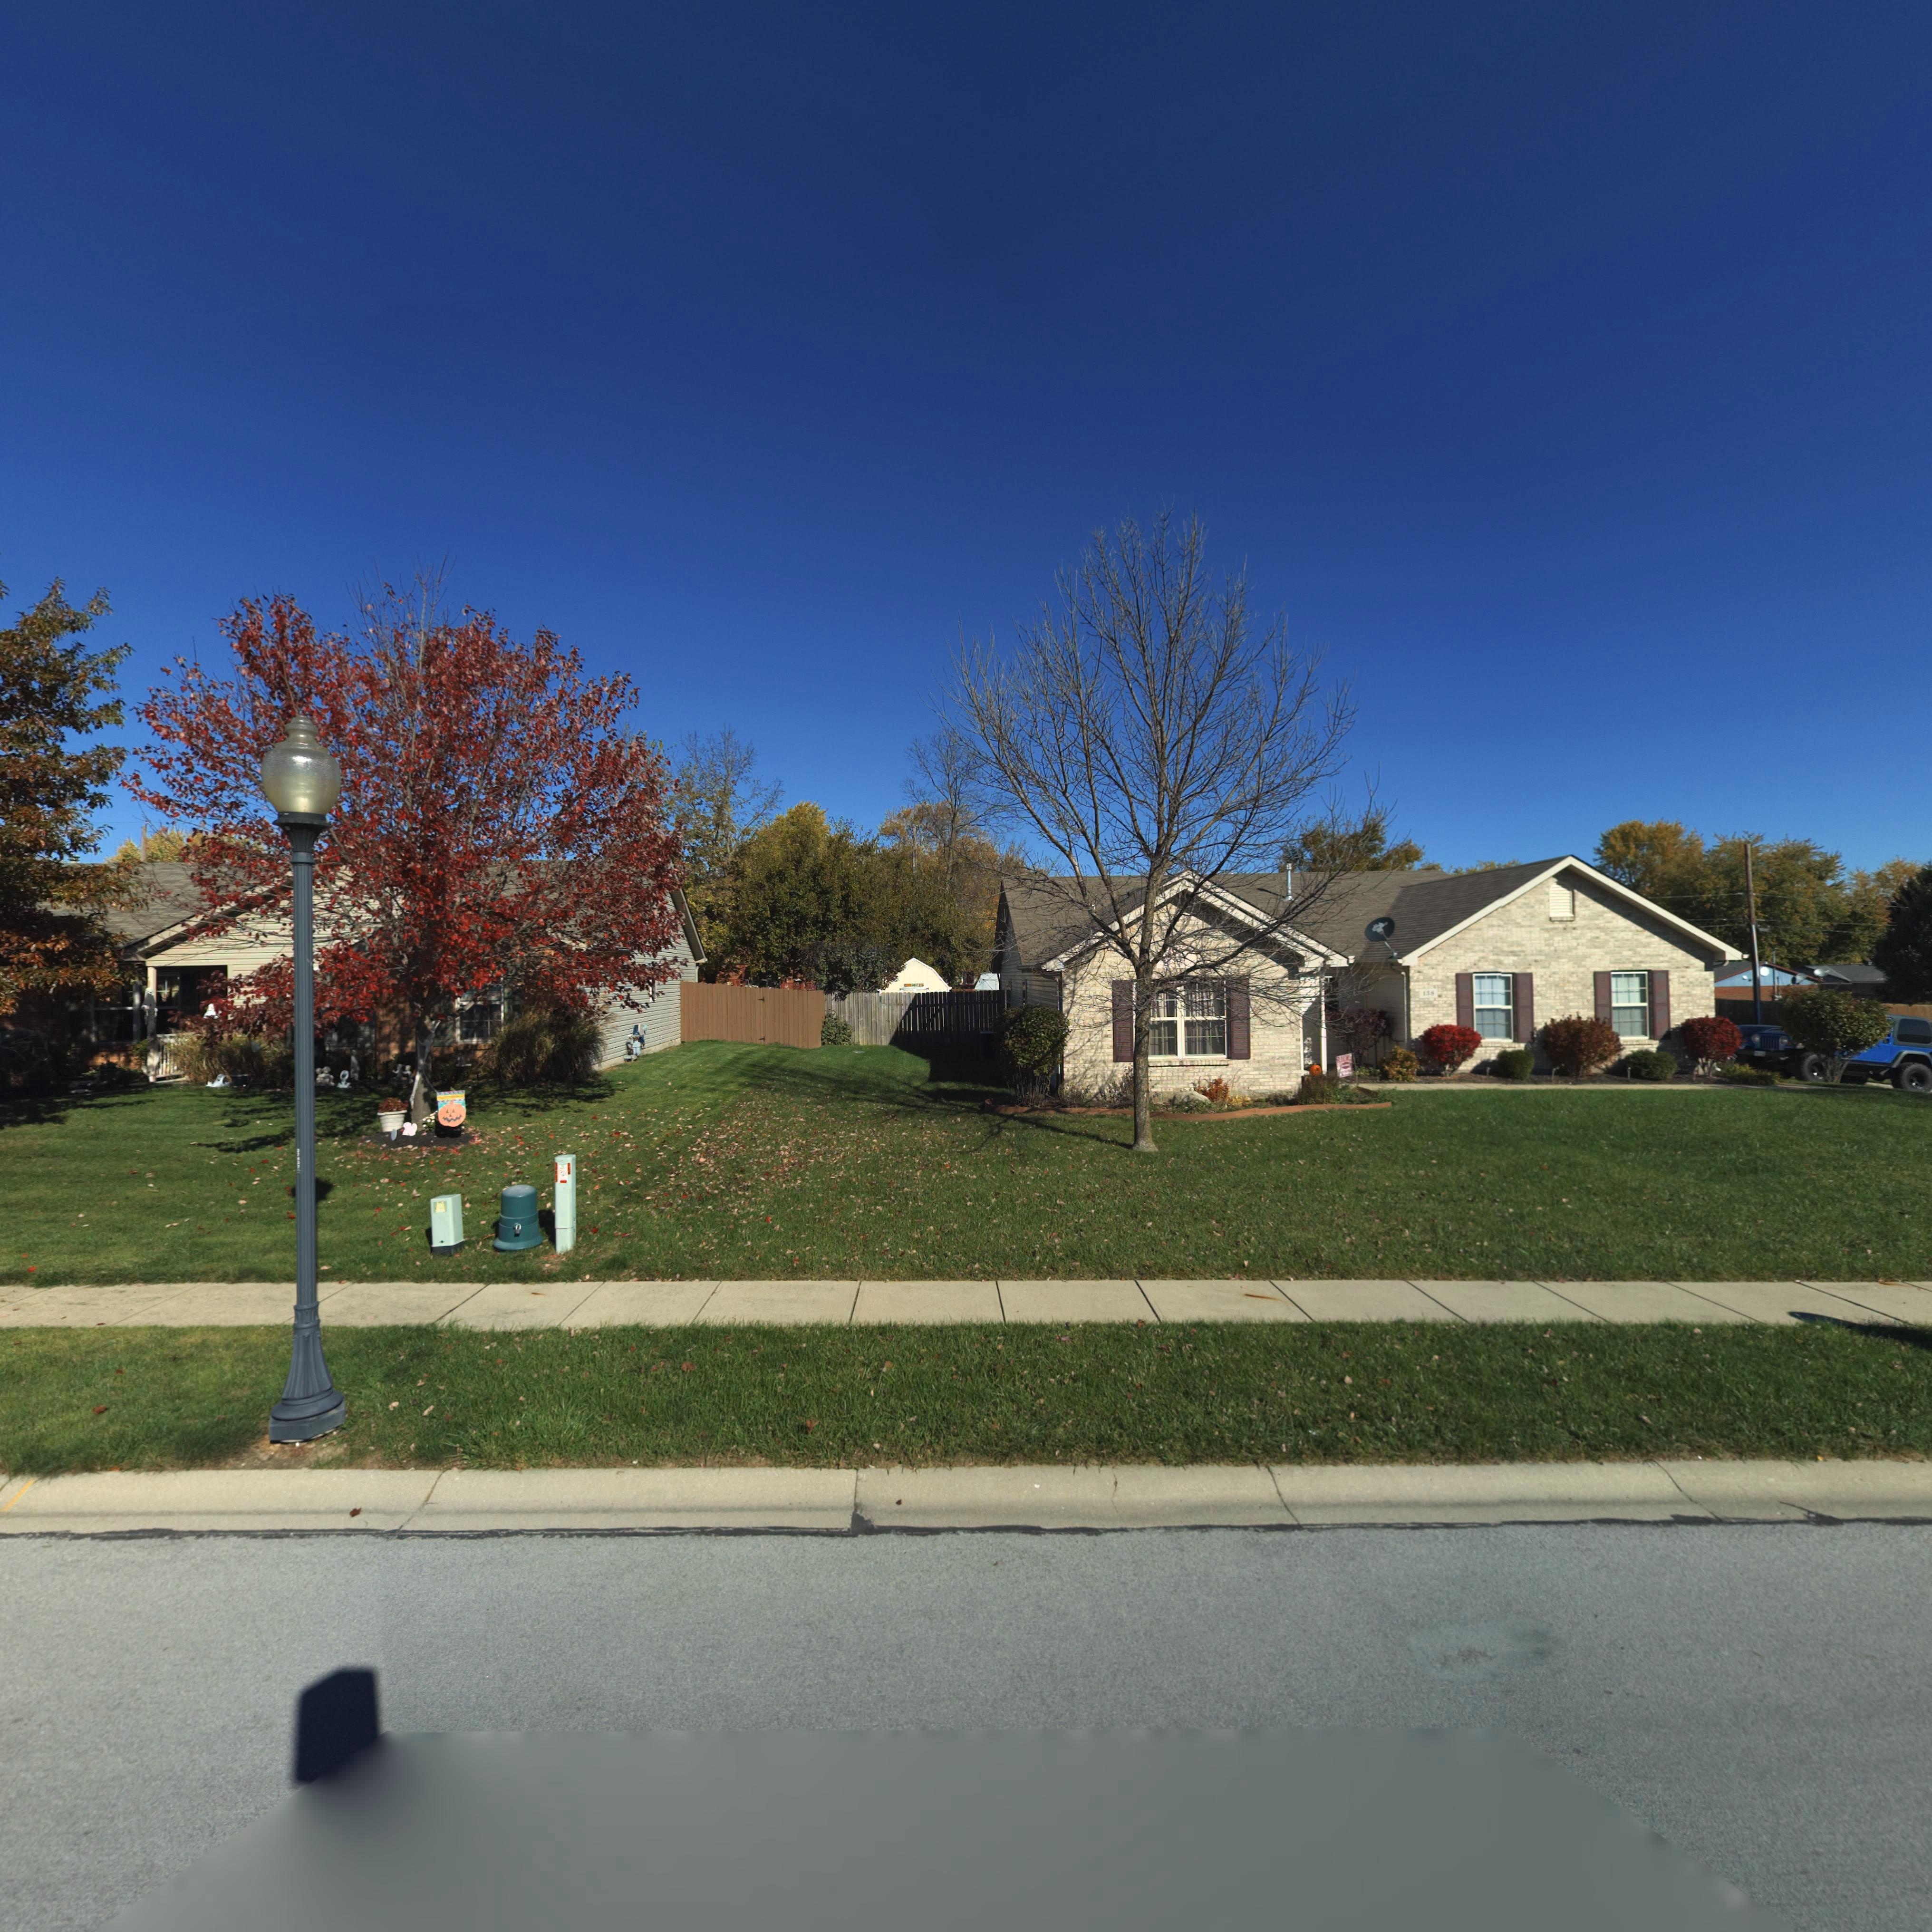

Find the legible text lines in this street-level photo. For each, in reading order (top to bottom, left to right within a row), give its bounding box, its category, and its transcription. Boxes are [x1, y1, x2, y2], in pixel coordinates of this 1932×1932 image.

[1422, 990, 1435, 996] StreetNumber: 138